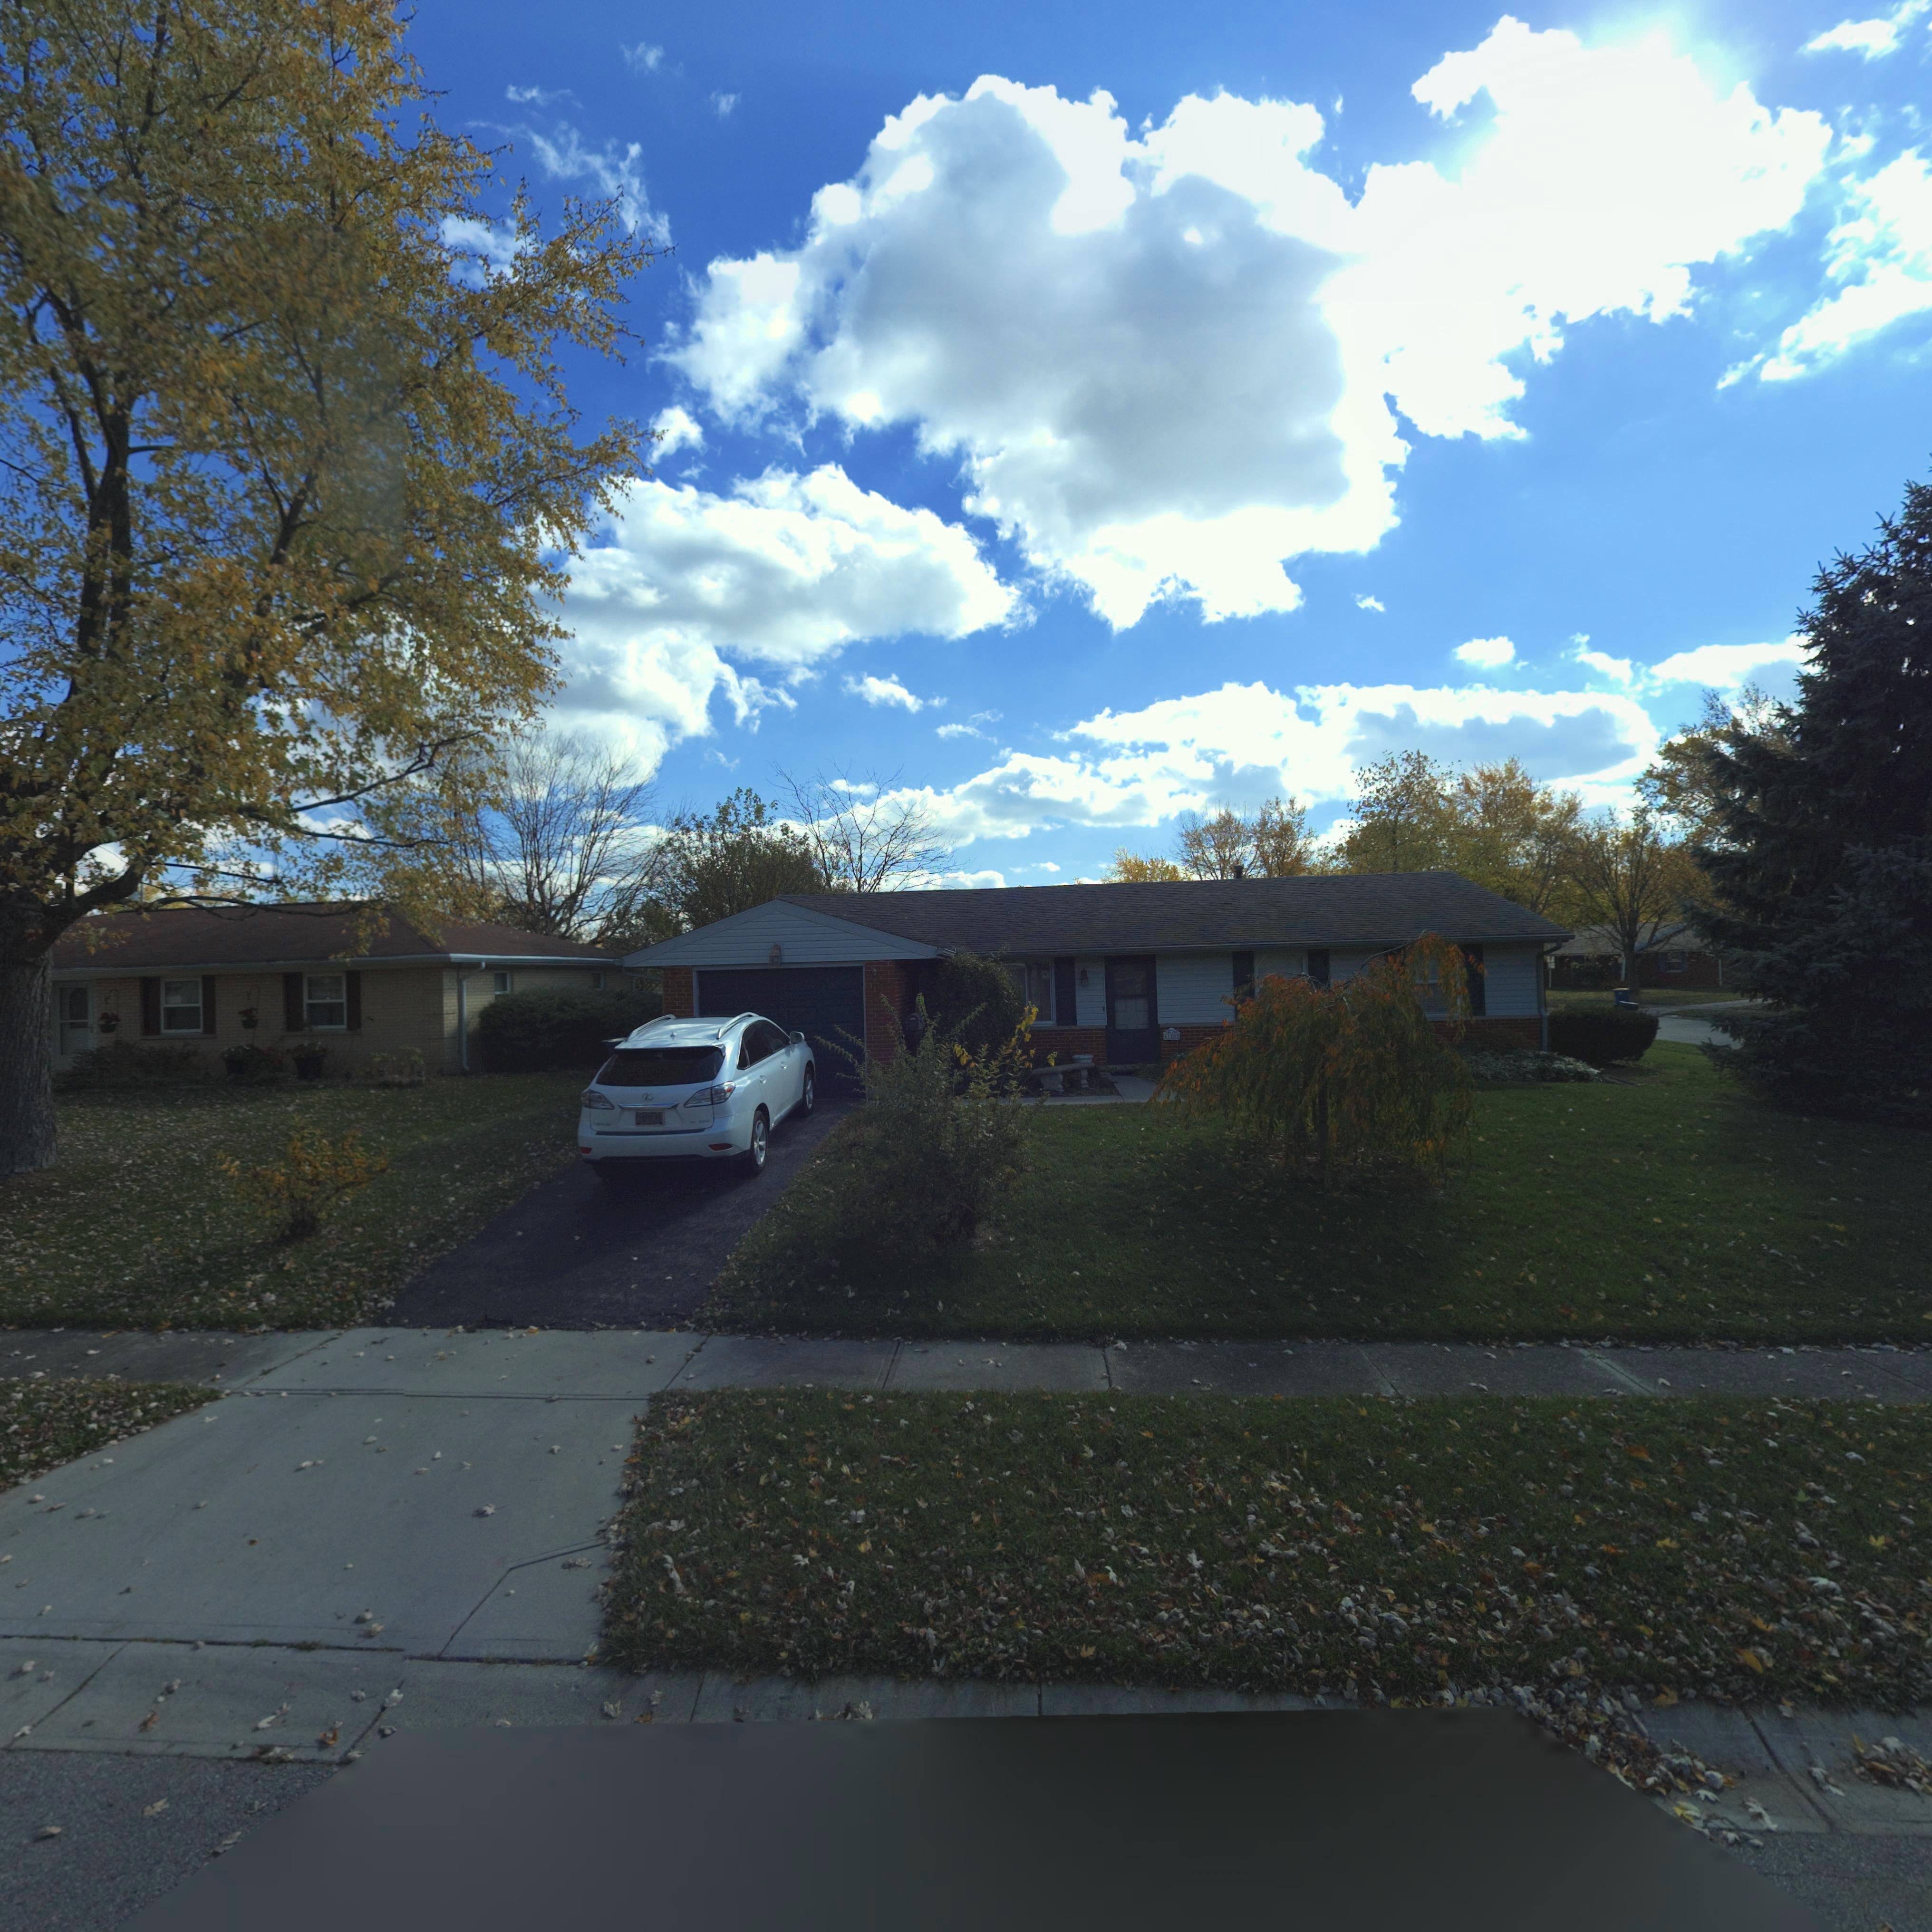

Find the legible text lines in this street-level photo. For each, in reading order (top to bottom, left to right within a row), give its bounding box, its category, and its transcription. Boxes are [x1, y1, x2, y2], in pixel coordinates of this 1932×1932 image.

[1163, 1034, 1179, 1038] StreetNumber: 67*02